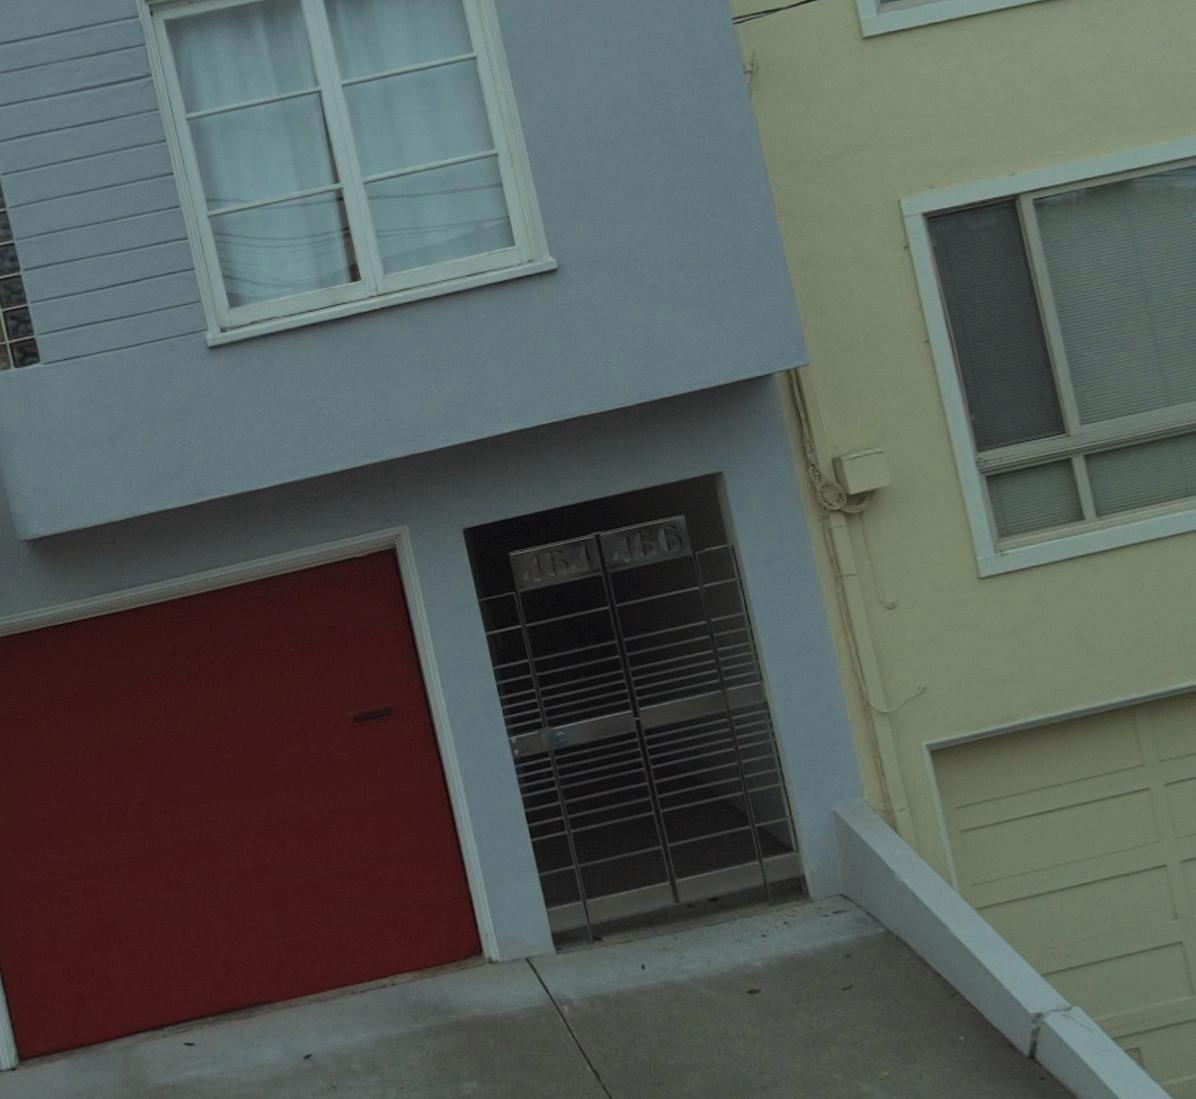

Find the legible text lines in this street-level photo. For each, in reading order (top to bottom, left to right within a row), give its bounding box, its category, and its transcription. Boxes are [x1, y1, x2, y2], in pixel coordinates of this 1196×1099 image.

[517, 540, 597, 585] StreetNumber: 464
[609, 521, 684, 567] StreetNumber: 466